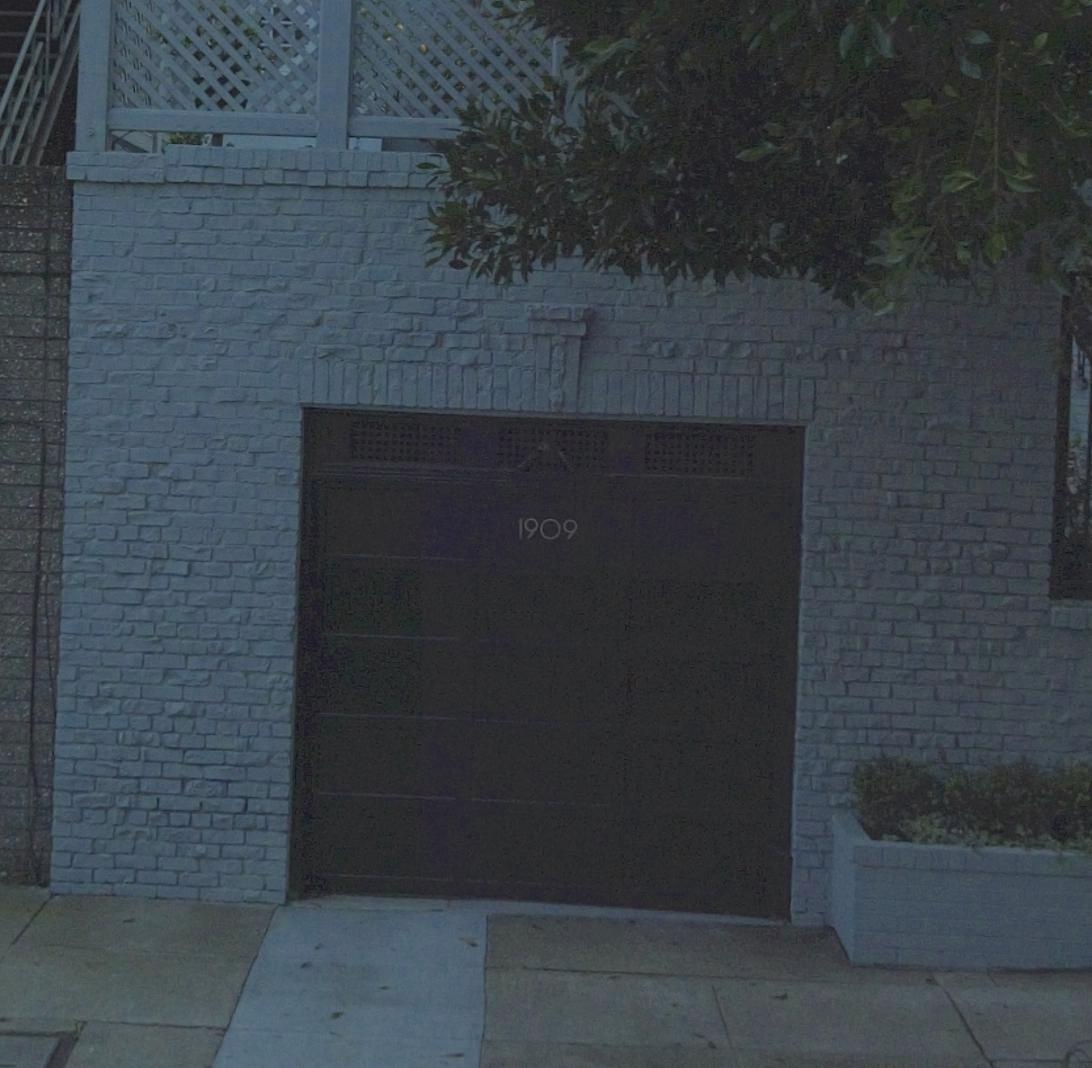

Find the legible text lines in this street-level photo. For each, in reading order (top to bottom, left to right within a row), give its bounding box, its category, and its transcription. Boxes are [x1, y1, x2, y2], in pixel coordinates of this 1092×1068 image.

[516, 515, 581, 543] StreetNumber: 1909